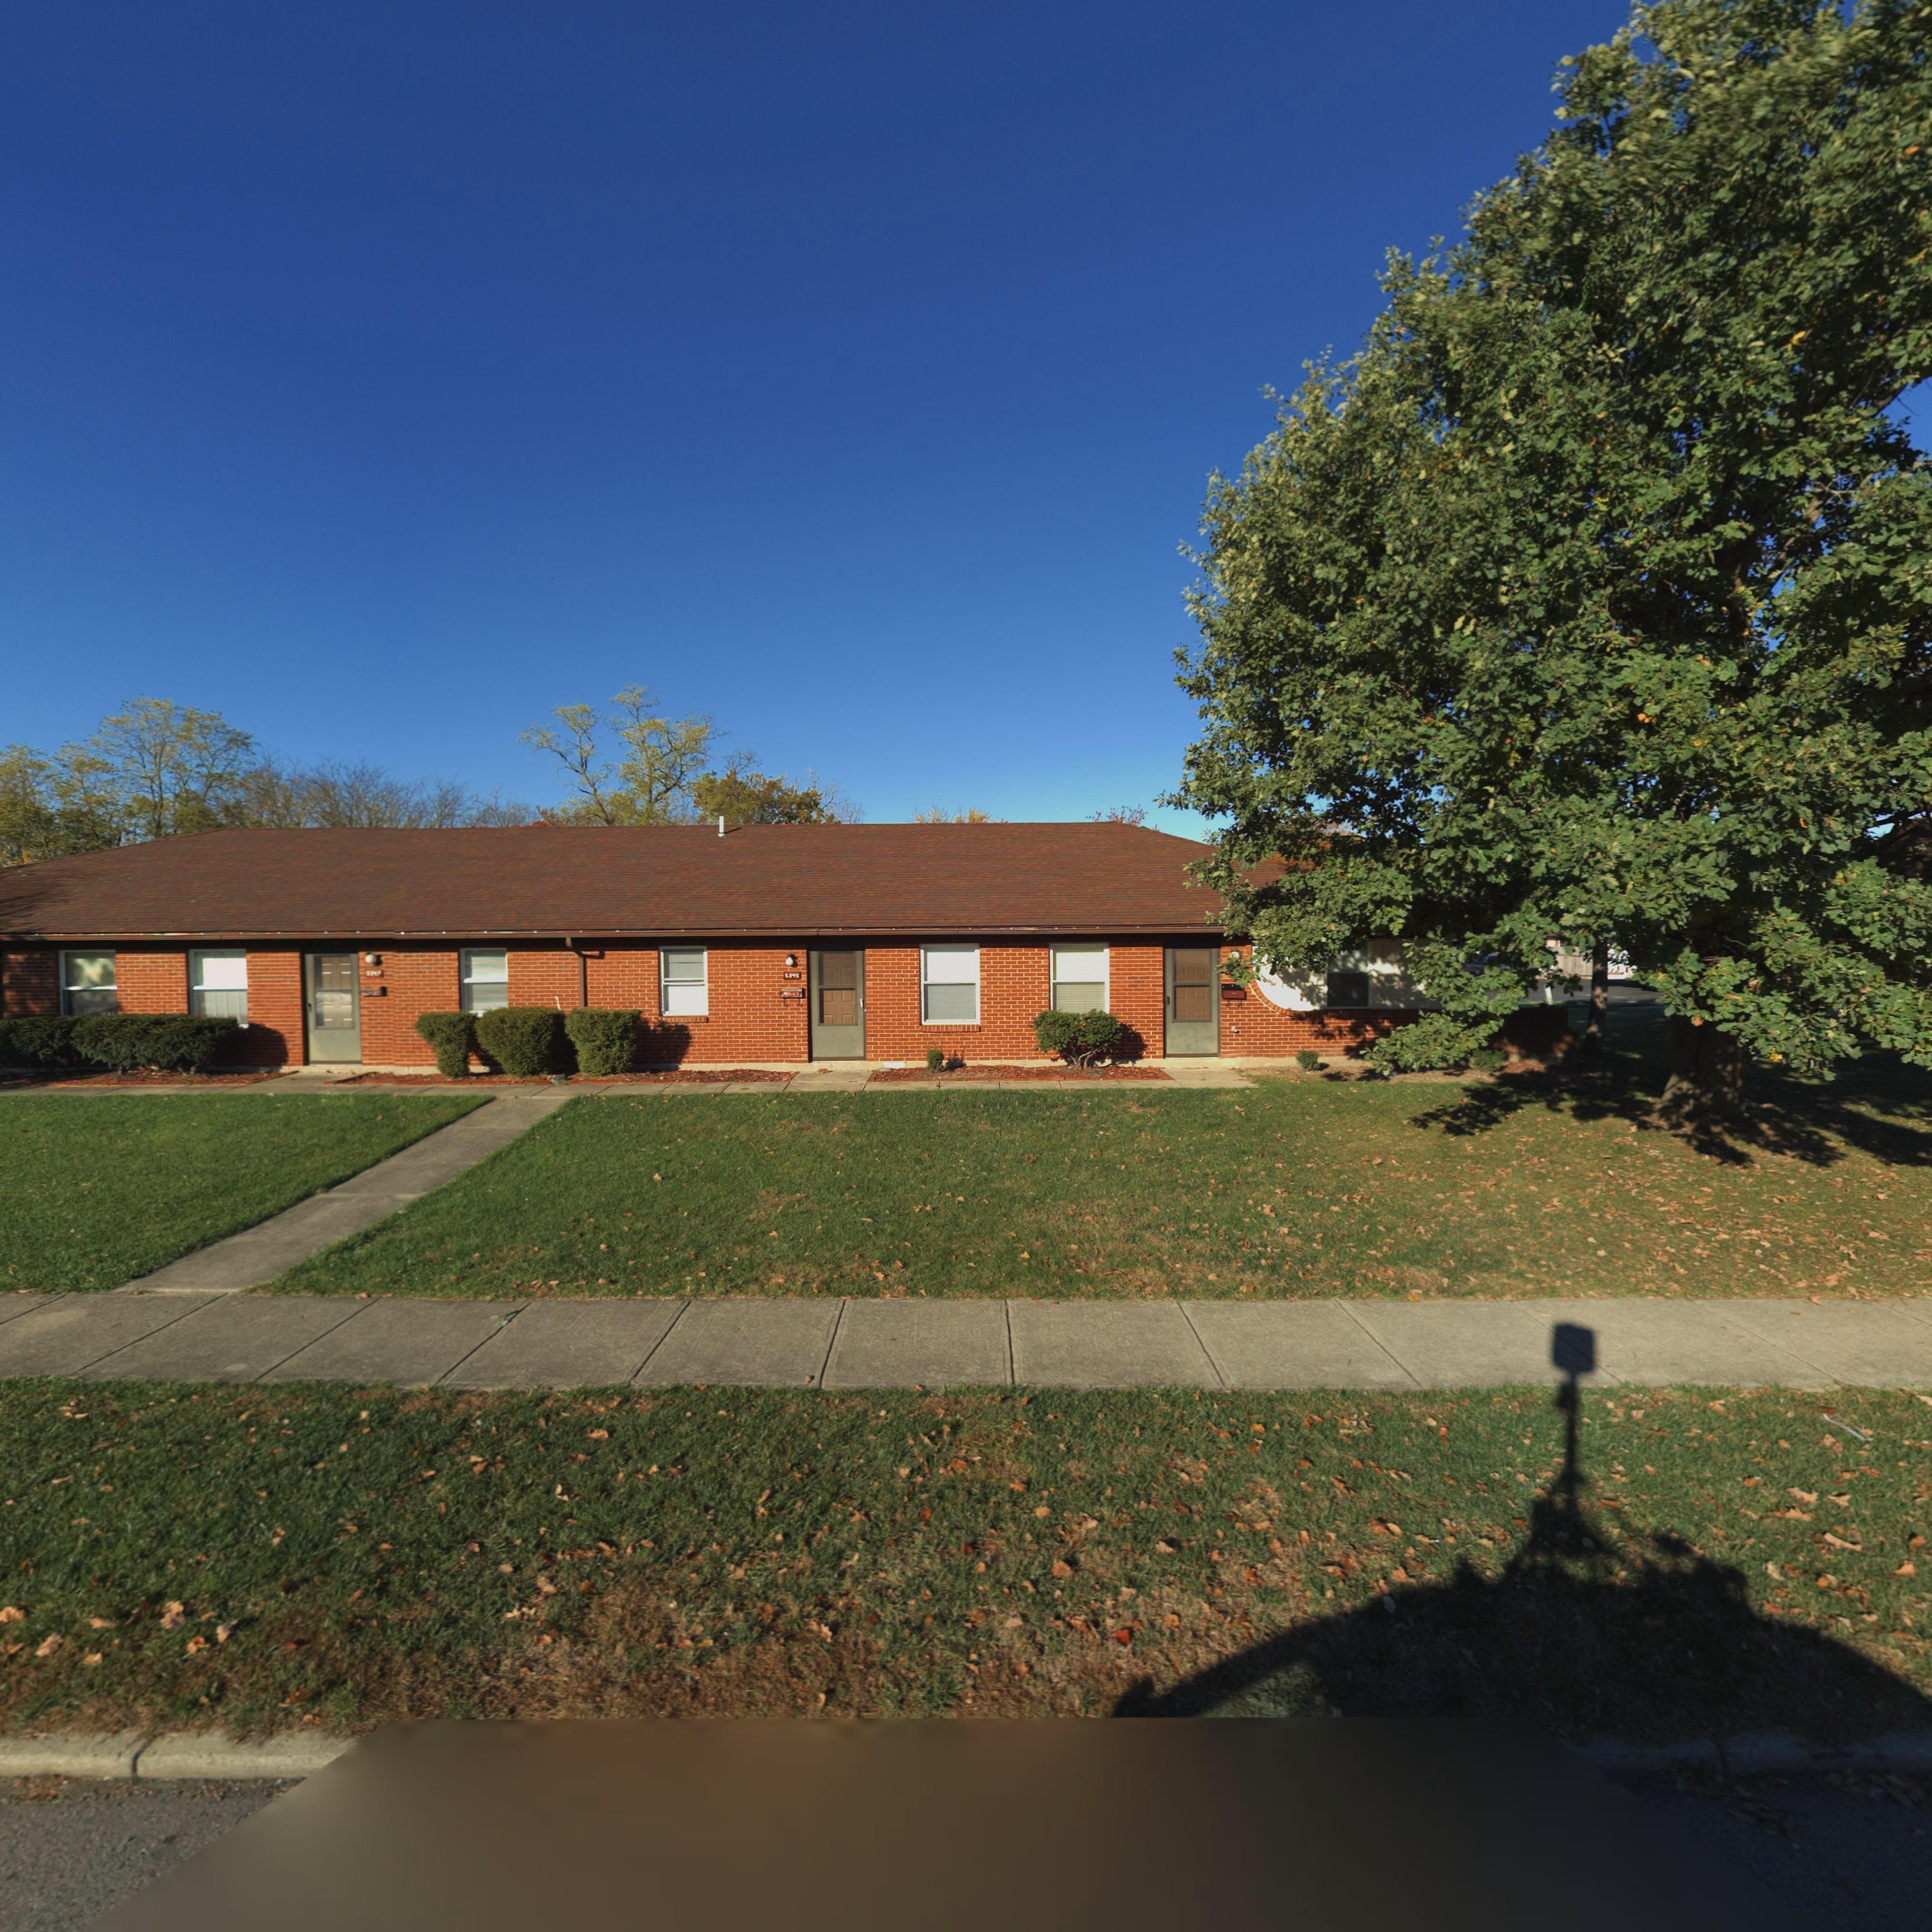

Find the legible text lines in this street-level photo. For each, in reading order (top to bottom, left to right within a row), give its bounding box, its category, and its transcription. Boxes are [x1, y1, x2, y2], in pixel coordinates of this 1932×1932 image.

[366, 970, 382, 976] StreetNumber: 5347
[784, 973, 800, 978] StreetNumber: 5345